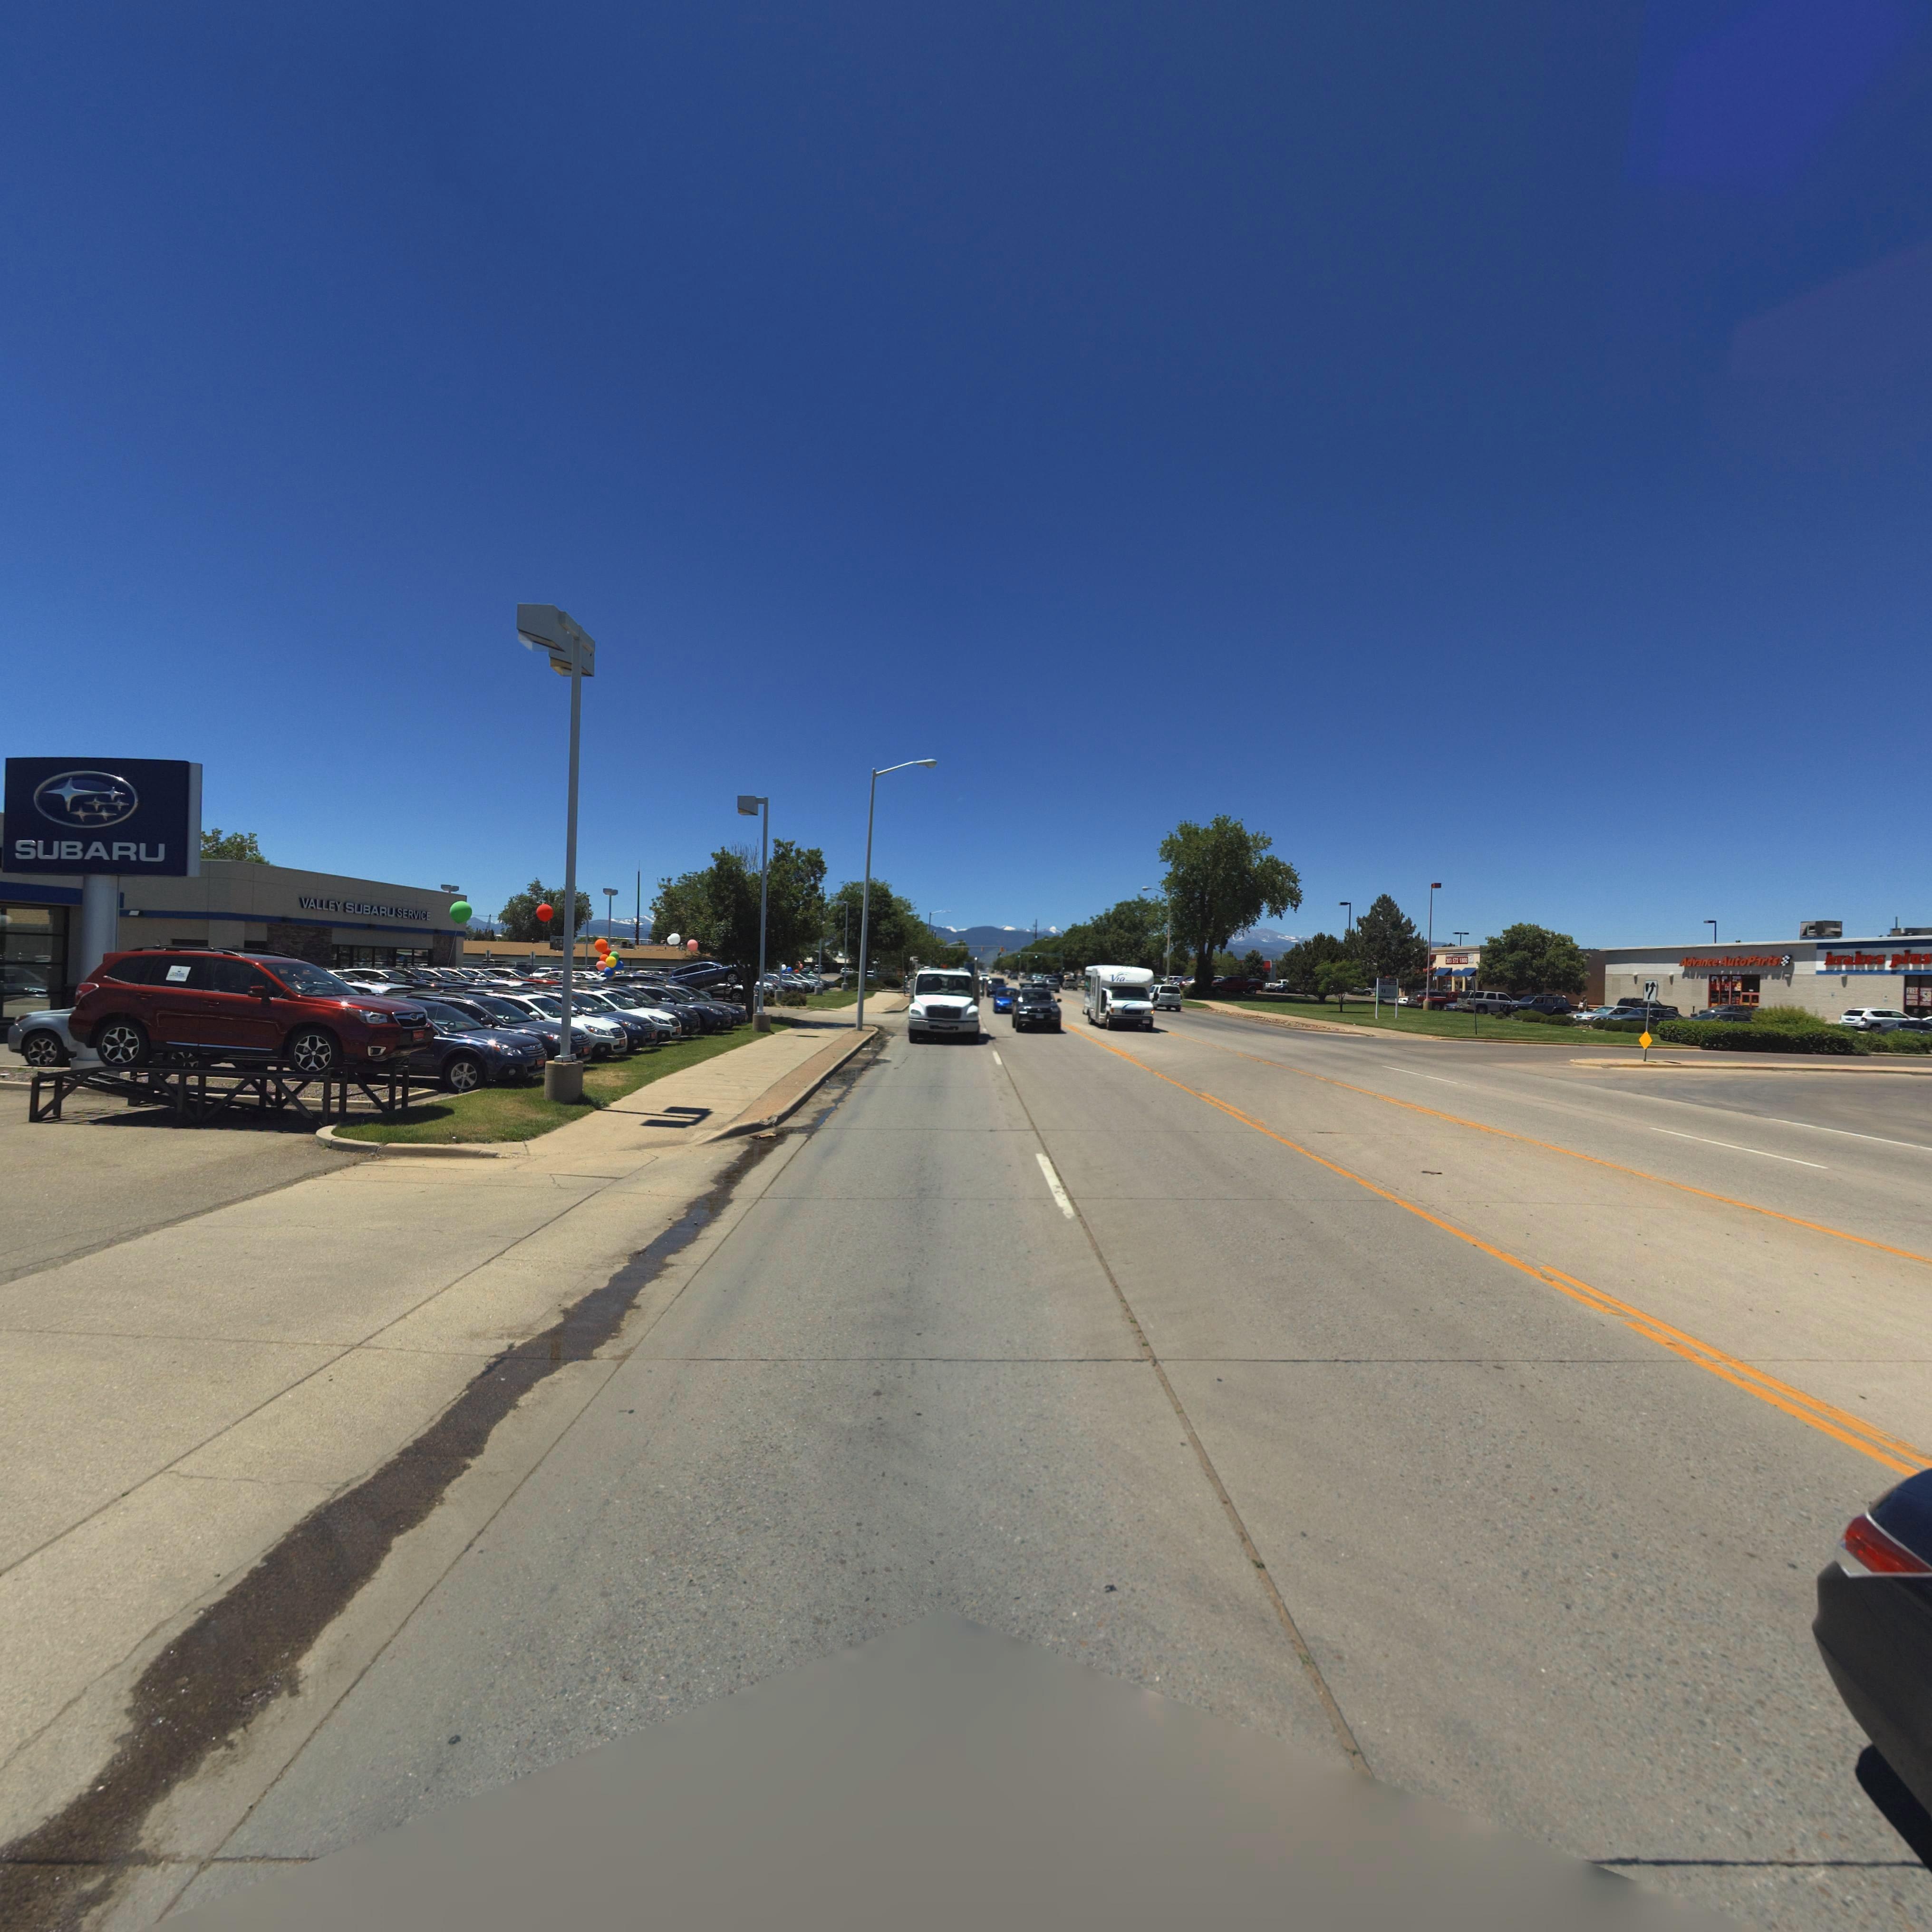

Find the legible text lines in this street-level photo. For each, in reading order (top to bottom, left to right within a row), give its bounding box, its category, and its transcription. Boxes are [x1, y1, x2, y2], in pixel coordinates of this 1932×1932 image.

[14, 839, 165, 863] BusinessName: SUBARU
[300, 897, 431, 921] BusinessName: VALLEY SUBARU SERVICE
[1678, 954, 1781, 966] BusinessName: Advance AutoParts
[1823, 948, 1932, 968] BusinessName: brakes plus